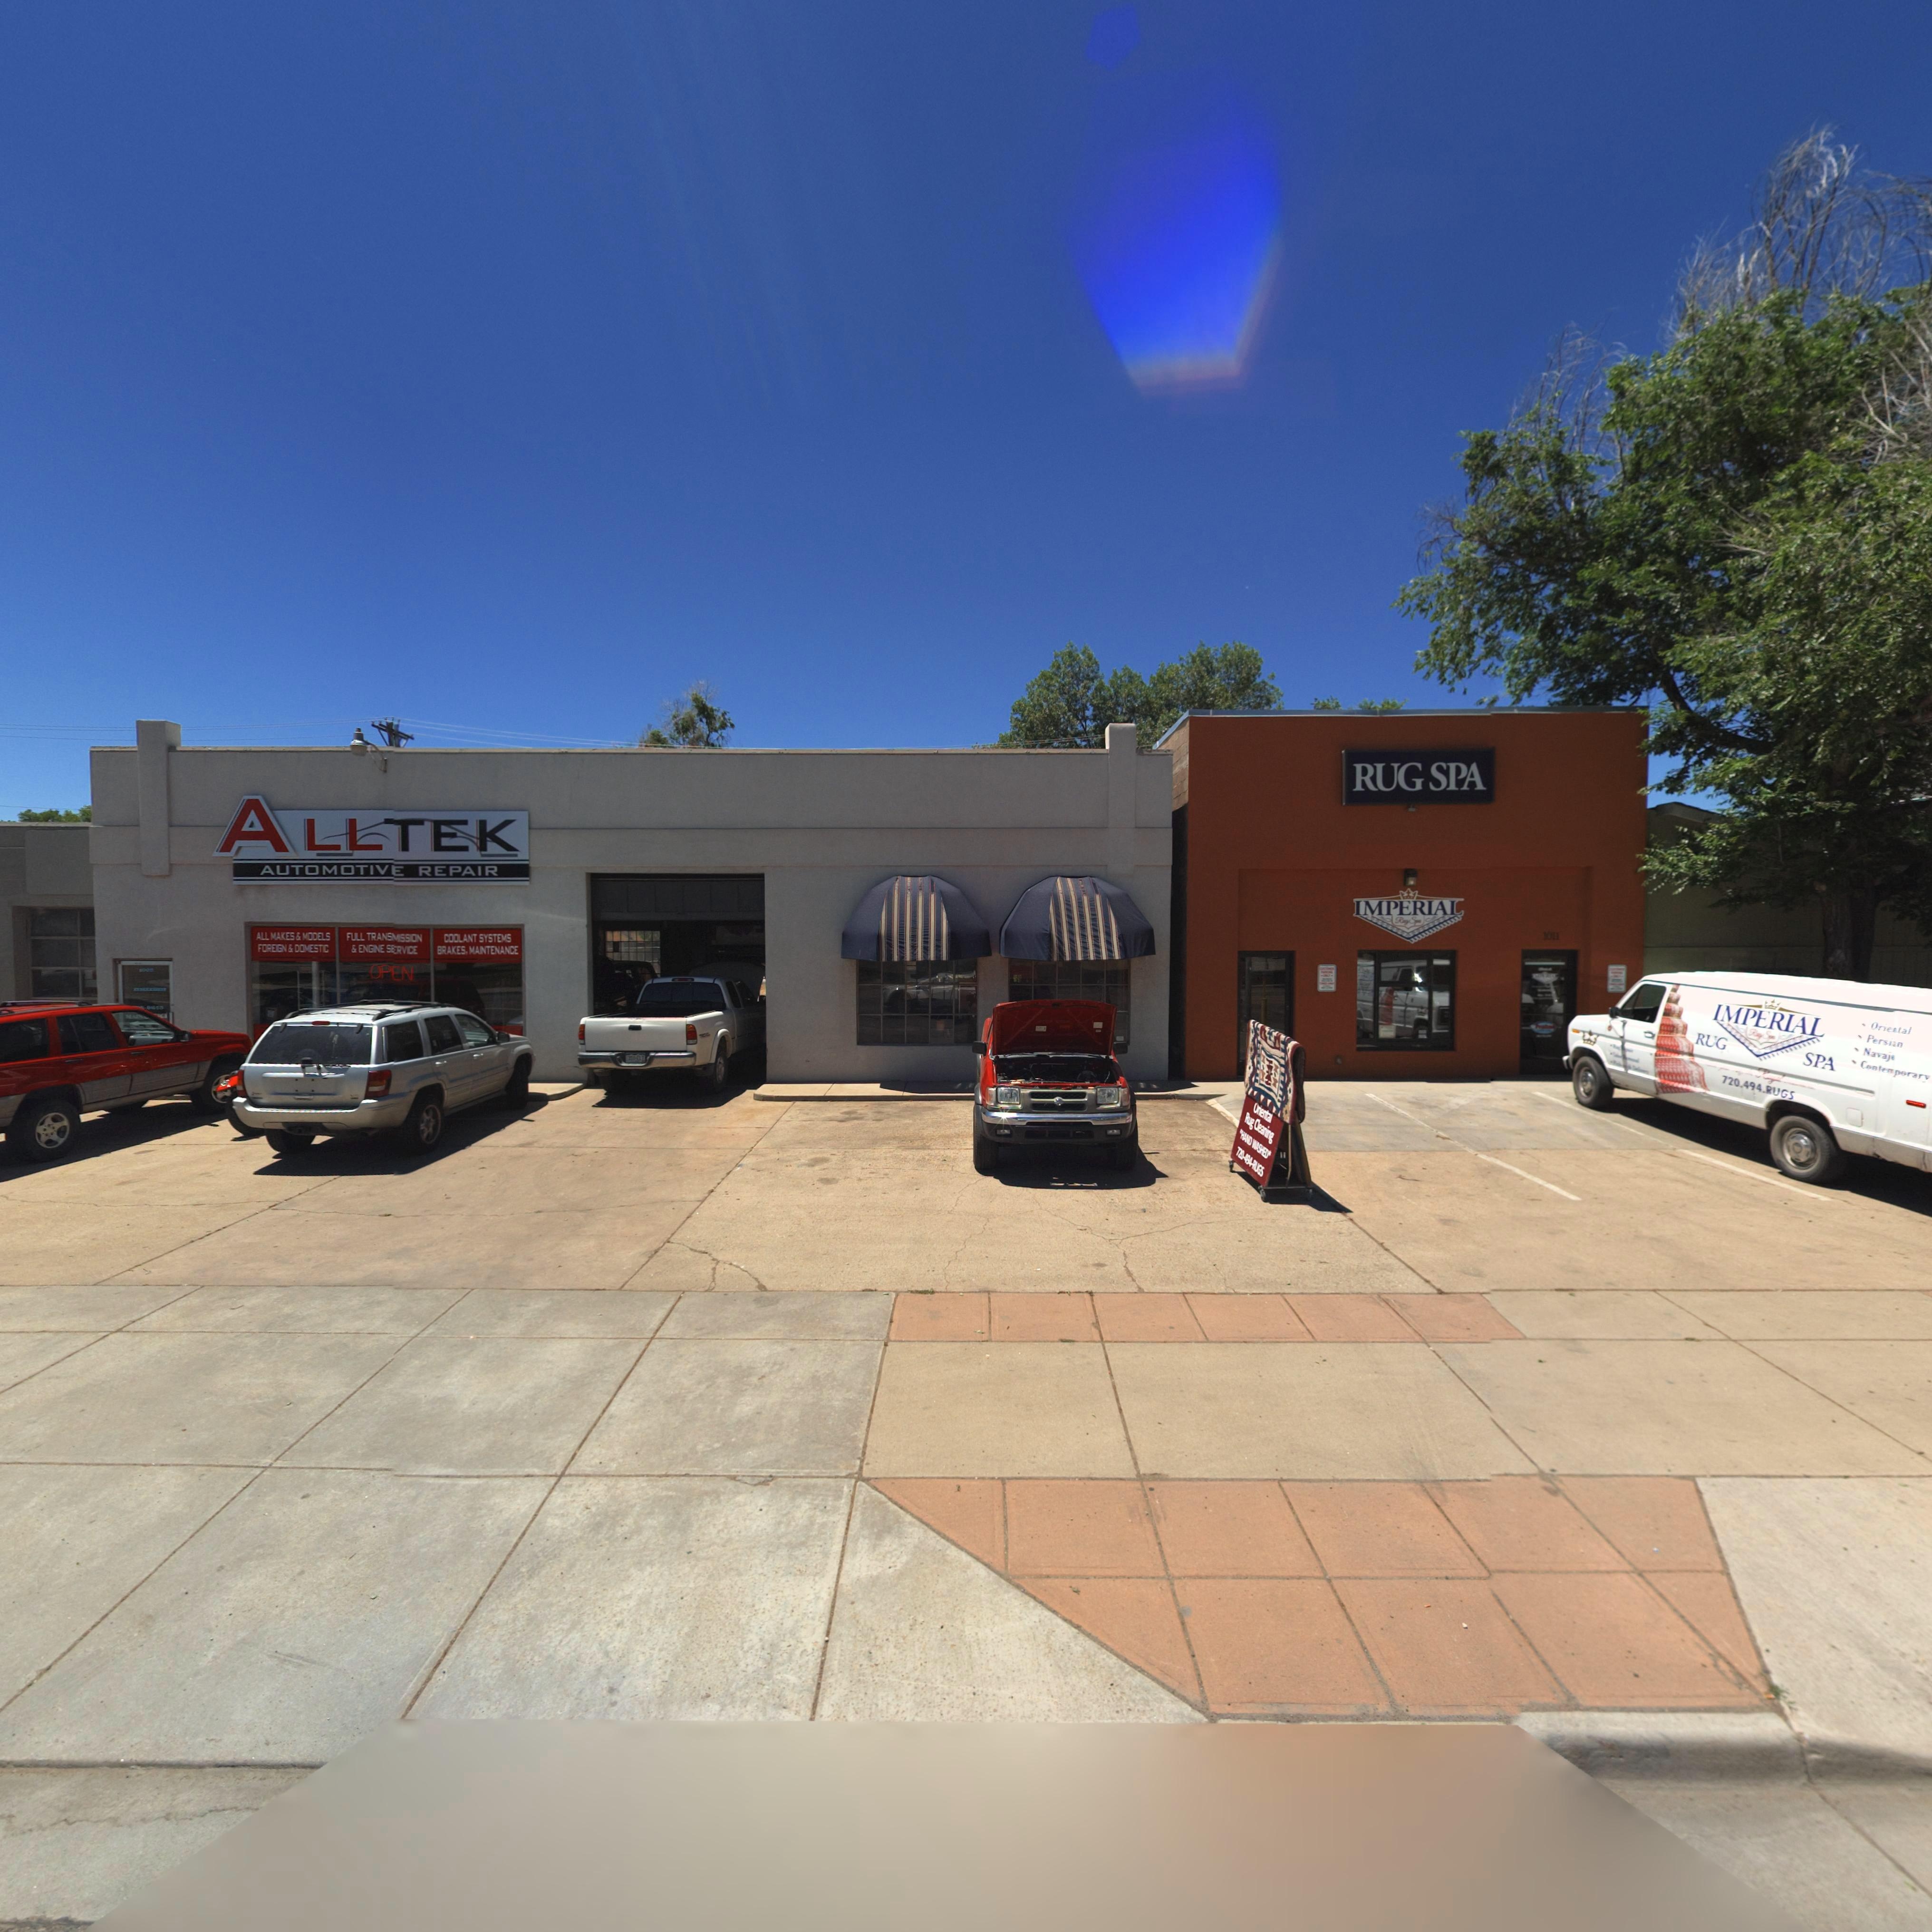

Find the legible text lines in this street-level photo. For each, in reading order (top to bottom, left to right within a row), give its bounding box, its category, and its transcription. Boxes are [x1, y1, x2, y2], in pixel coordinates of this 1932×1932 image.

[216, 797, 522, 855] BusinessName: ALLTEK
[259, 864, 499, 878] BusinessName: AUTOMOTIVE REPAIR
[1353, 899, 1463, 916] BusinessName: IMPERIAL
[1542, 931, 1560, 940] StreetNumber: 1011
[139, 968, 154, 972] StreetNumber: **05